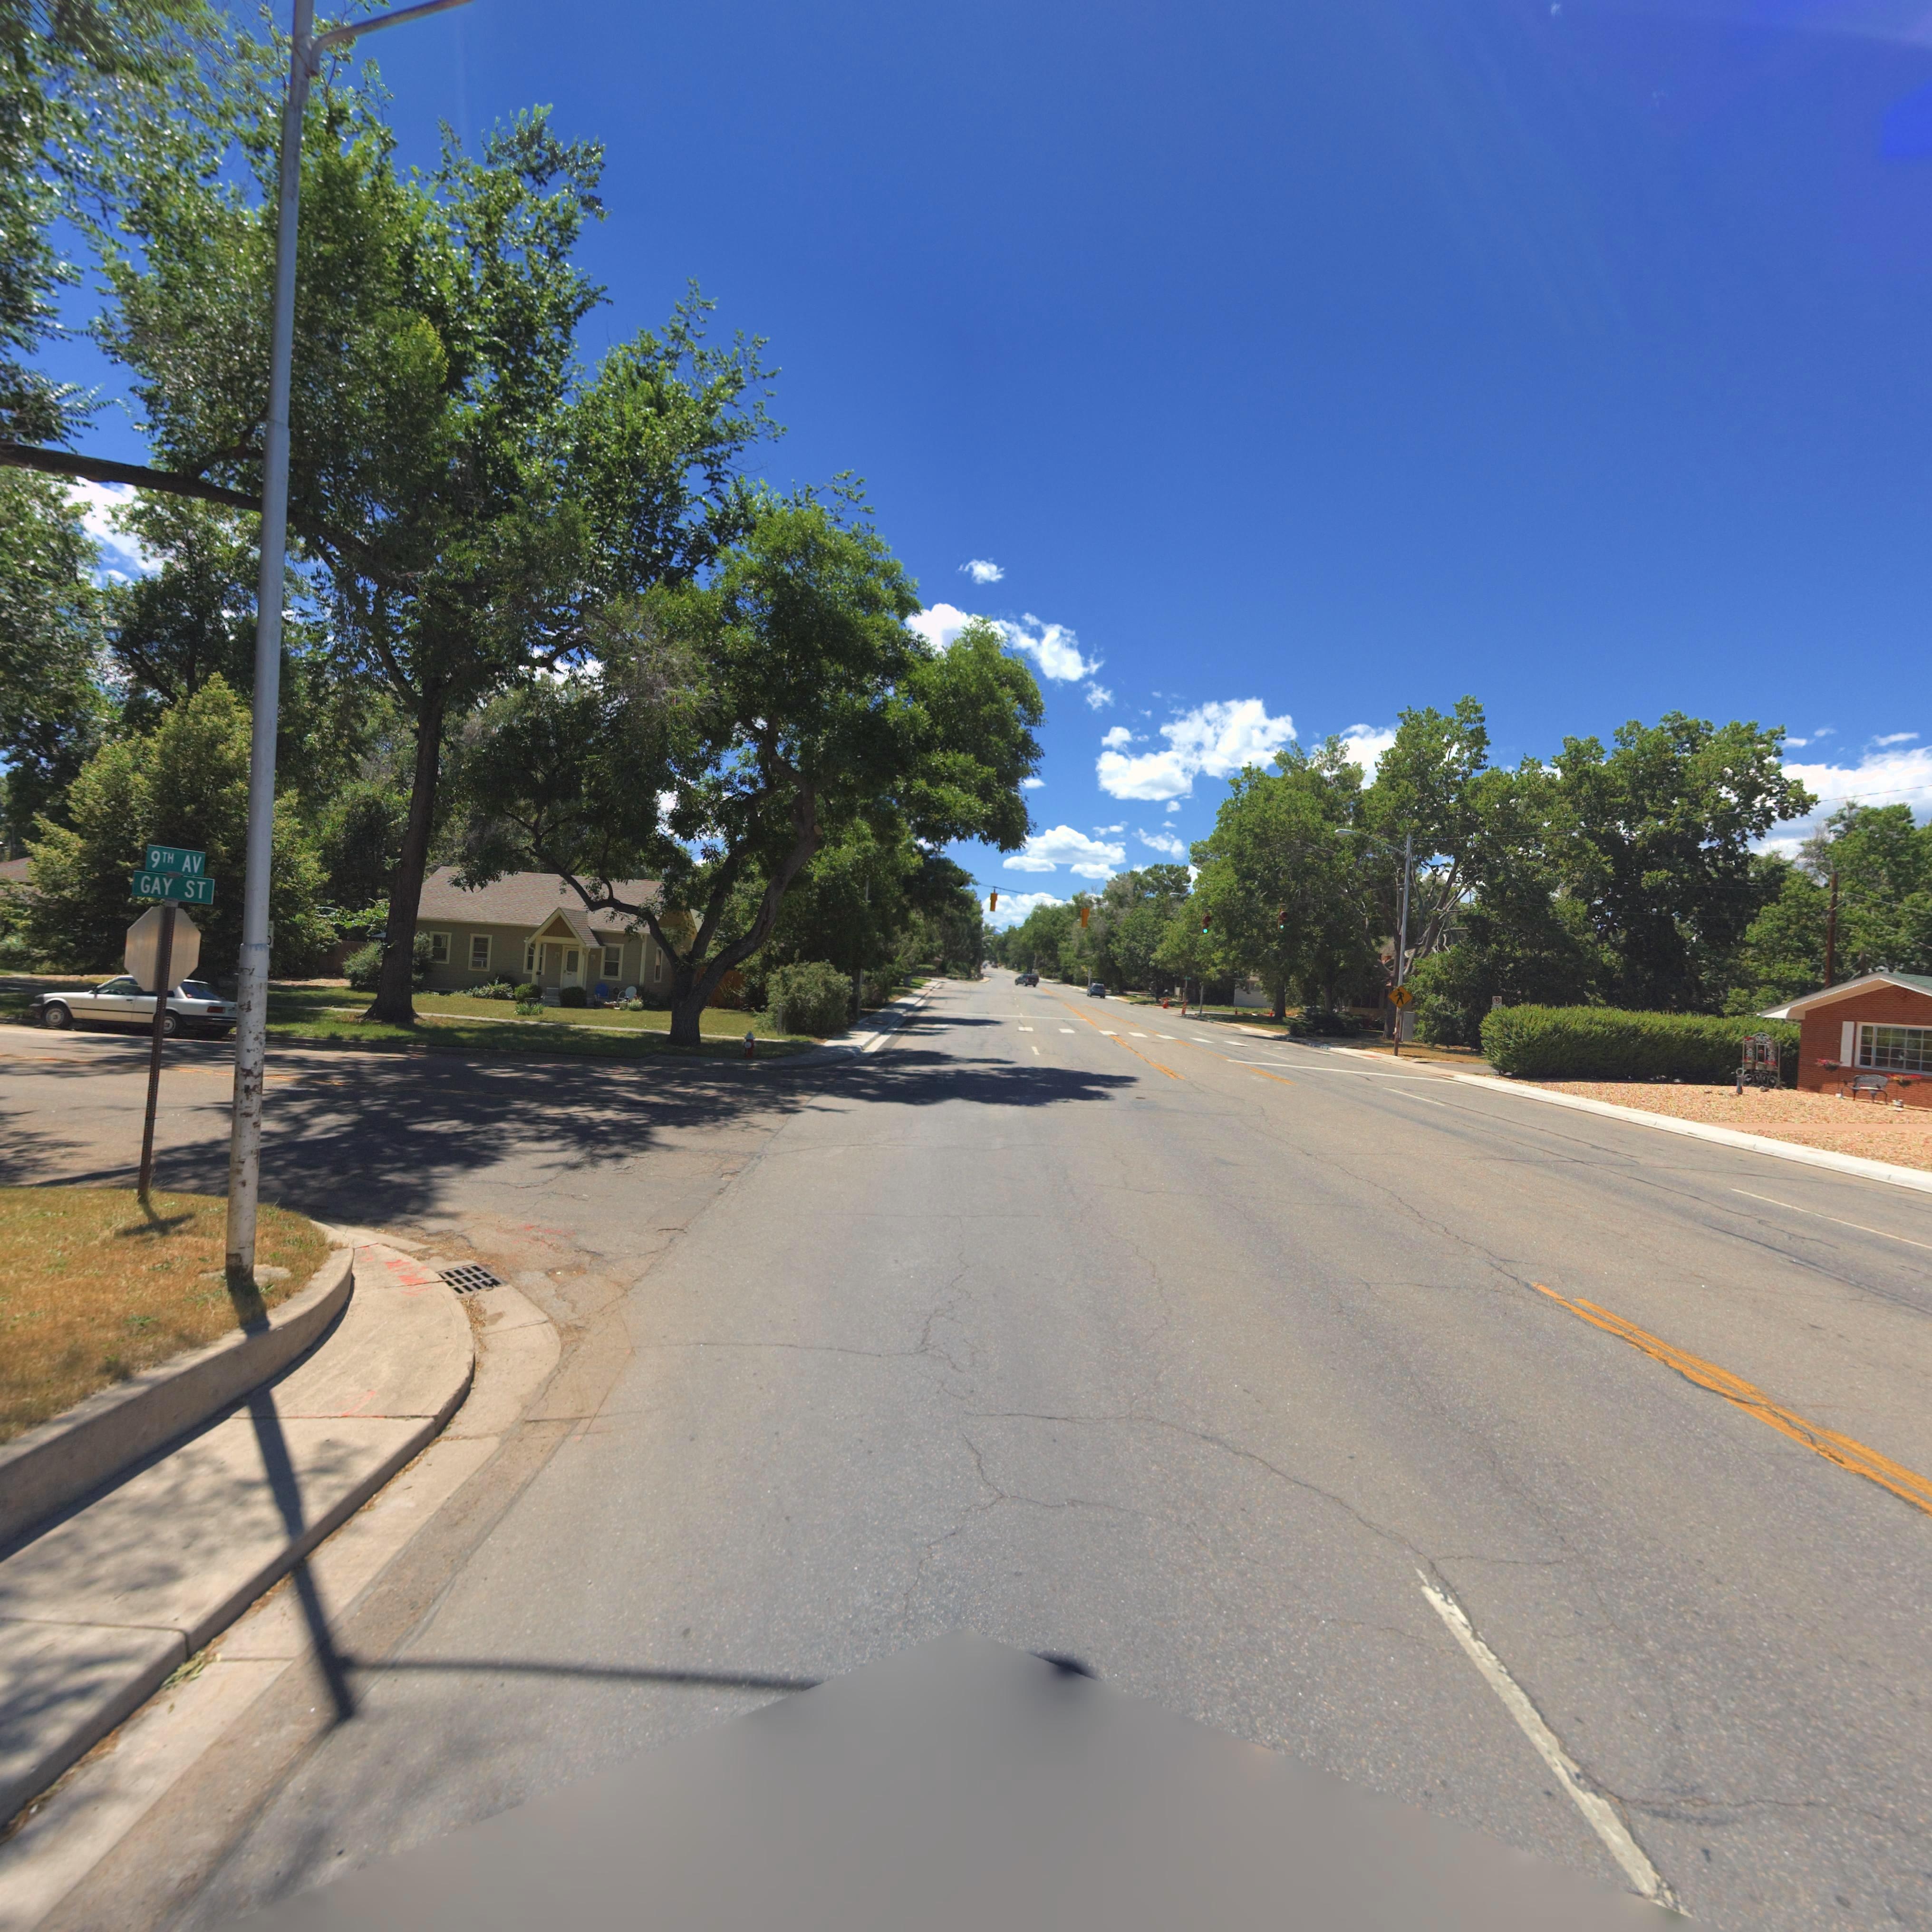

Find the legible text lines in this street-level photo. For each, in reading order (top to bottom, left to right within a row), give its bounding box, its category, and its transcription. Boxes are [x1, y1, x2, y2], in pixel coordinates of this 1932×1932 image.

[150, 850, 203, 874] StreetName: 9TH AV
[140, 875, 206, 899] StreetName: GAY ST